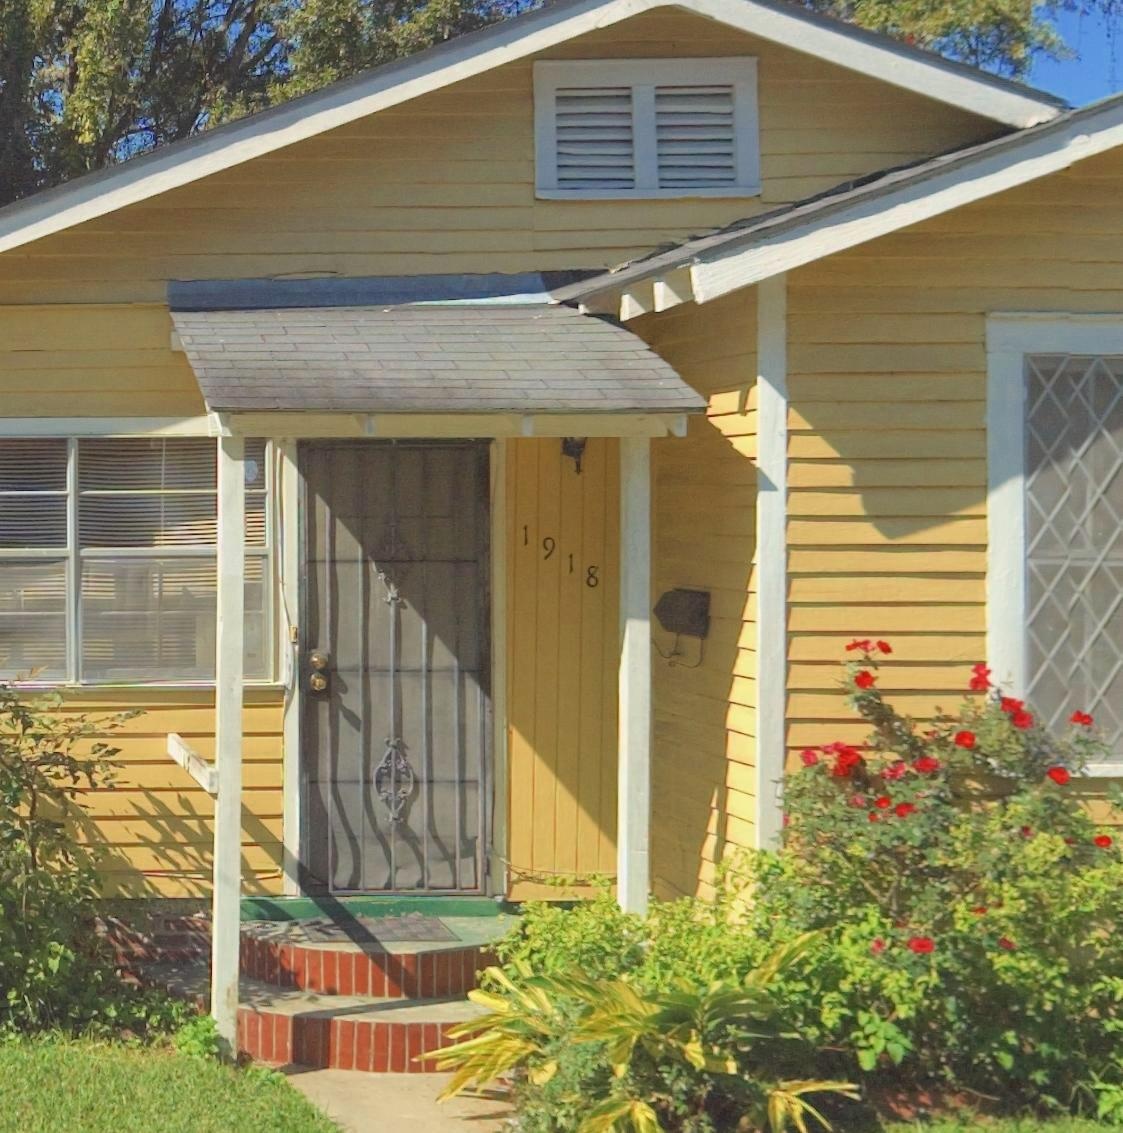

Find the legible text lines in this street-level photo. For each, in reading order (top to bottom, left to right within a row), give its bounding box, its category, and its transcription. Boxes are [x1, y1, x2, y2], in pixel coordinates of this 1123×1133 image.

[520, 522, 601, 591] StreetNumber: 1918